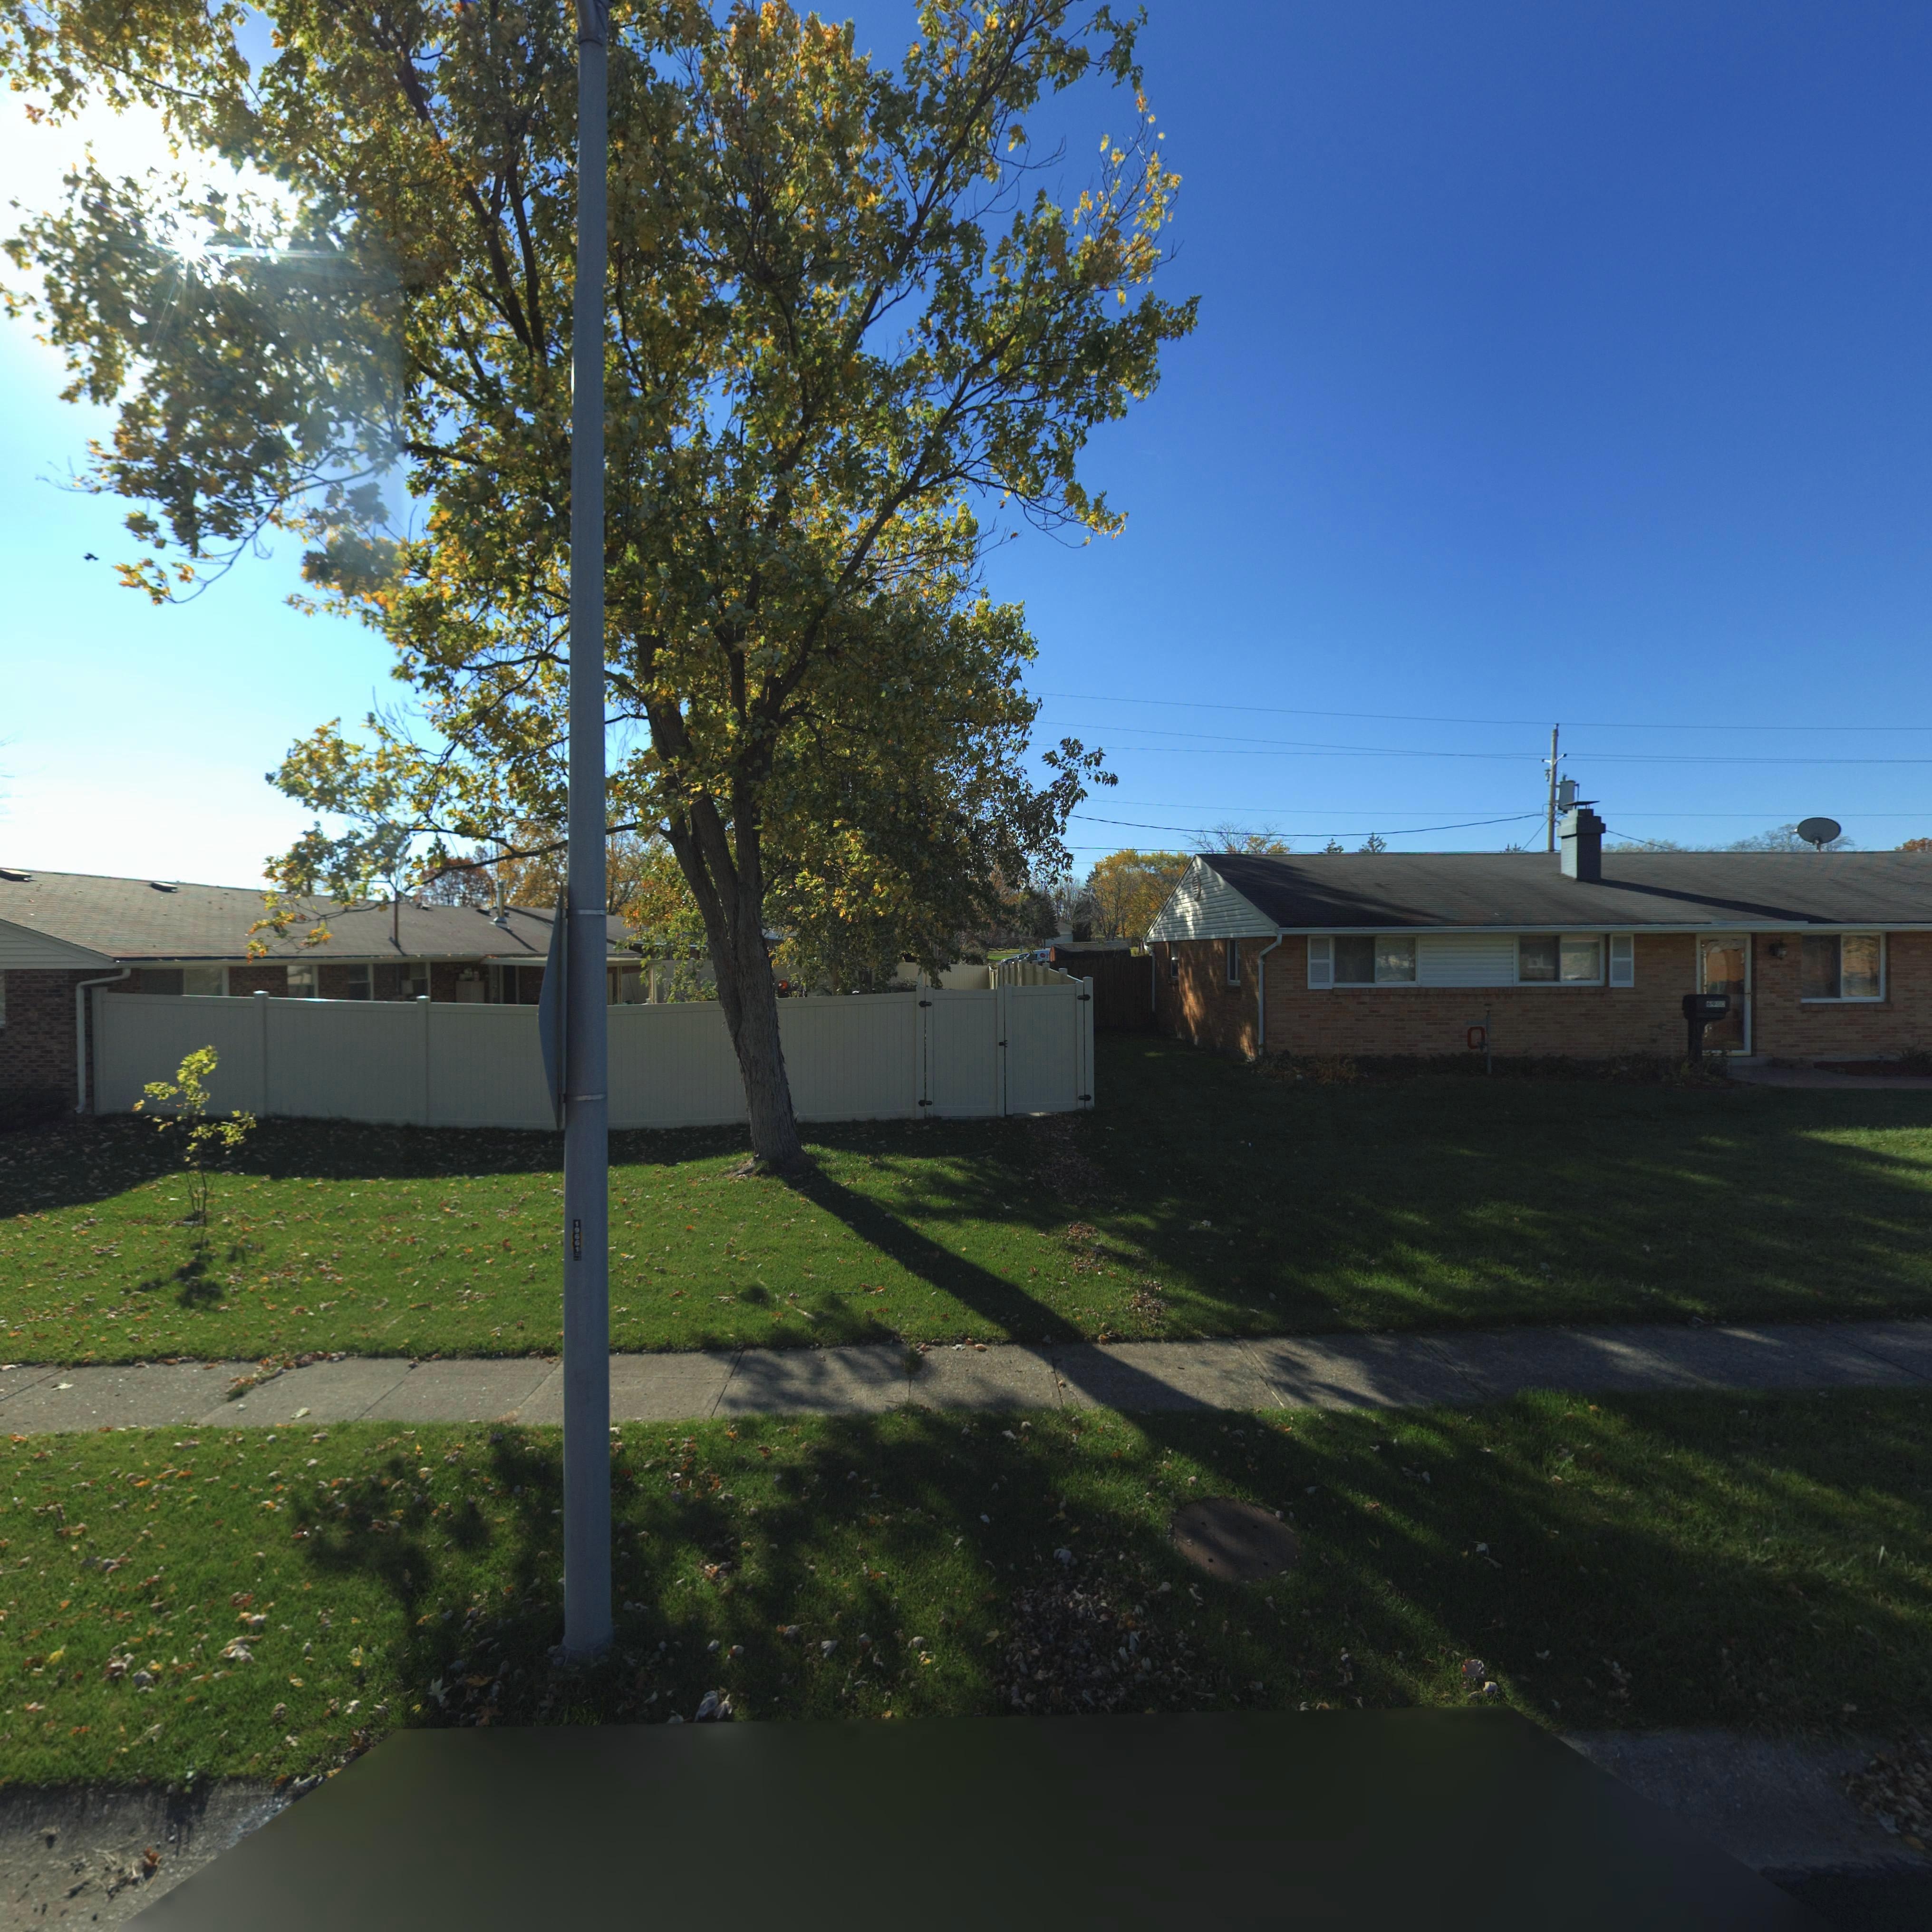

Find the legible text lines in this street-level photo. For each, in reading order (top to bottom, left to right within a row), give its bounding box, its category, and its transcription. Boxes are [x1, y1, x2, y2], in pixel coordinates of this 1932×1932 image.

[1707, 1000, 1726, 1007] StreetNumber: 6980